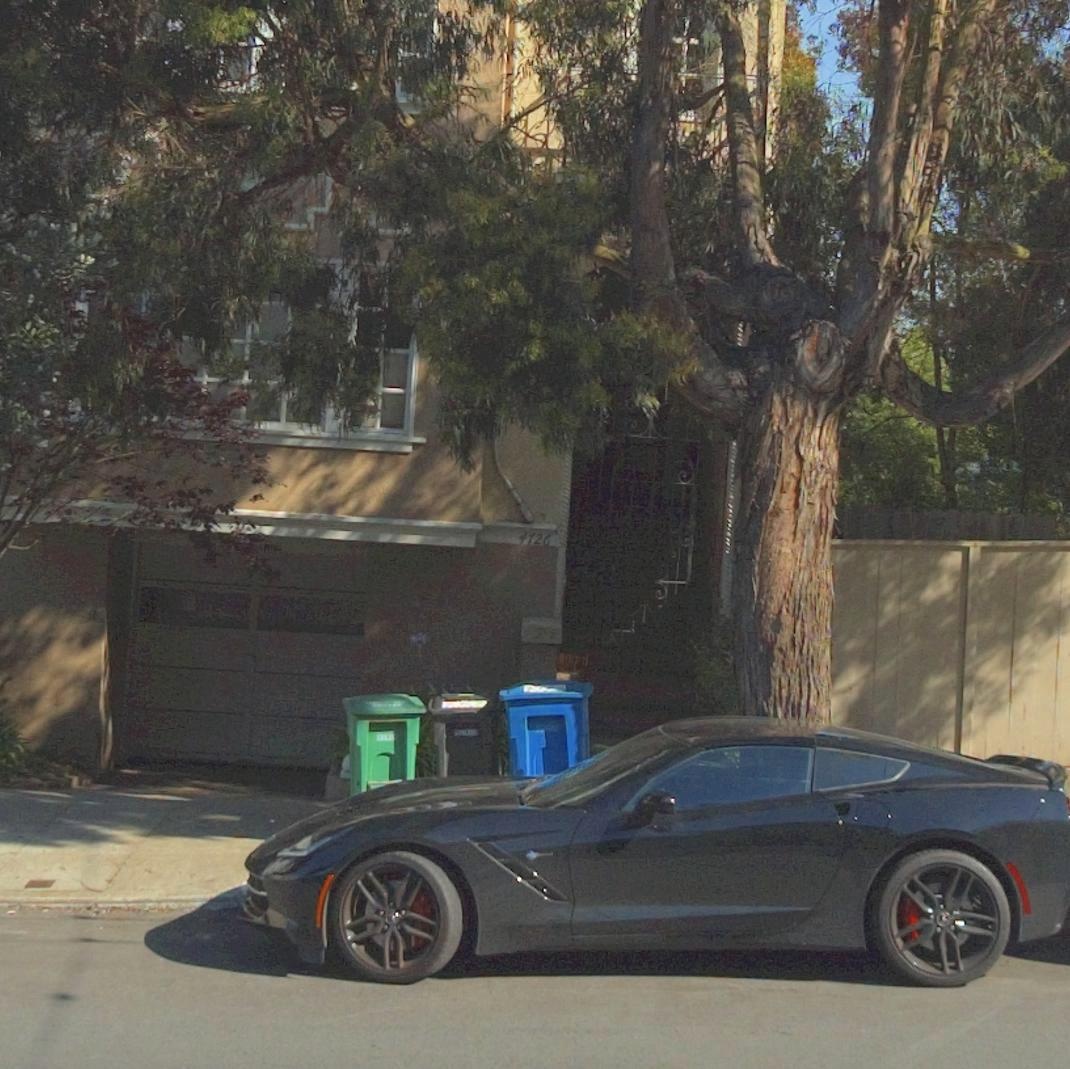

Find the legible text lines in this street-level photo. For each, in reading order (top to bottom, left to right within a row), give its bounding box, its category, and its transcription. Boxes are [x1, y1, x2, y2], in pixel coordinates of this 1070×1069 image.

[517, 532, 551, 546] StreetNumber: 4726